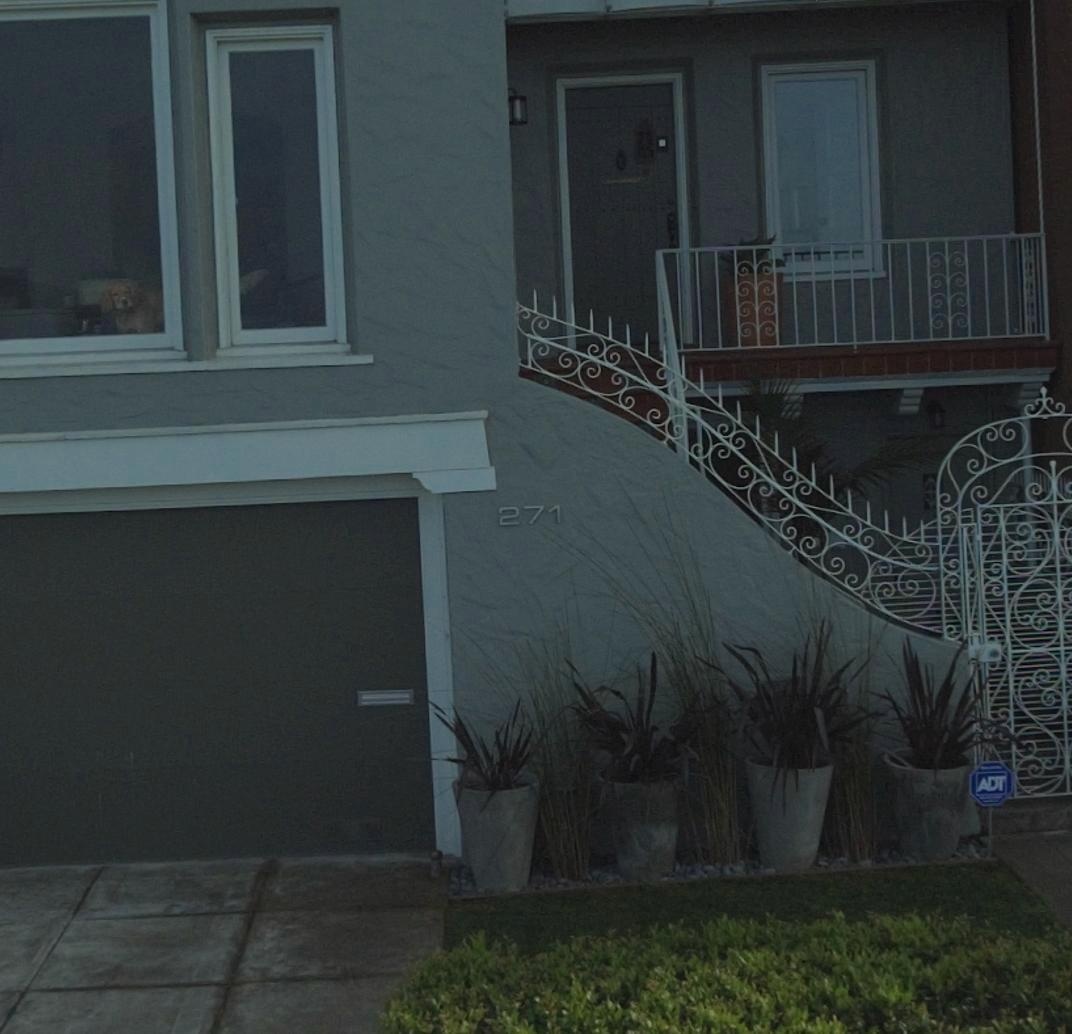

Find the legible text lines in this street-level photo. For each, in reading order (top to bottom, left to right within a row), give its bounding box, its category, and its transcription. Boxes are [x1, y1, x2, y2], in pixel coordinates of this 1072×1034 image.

[497, 503, 564, 528] StreetNumber: 271
[973, 774, 1009, 794] None: ADT